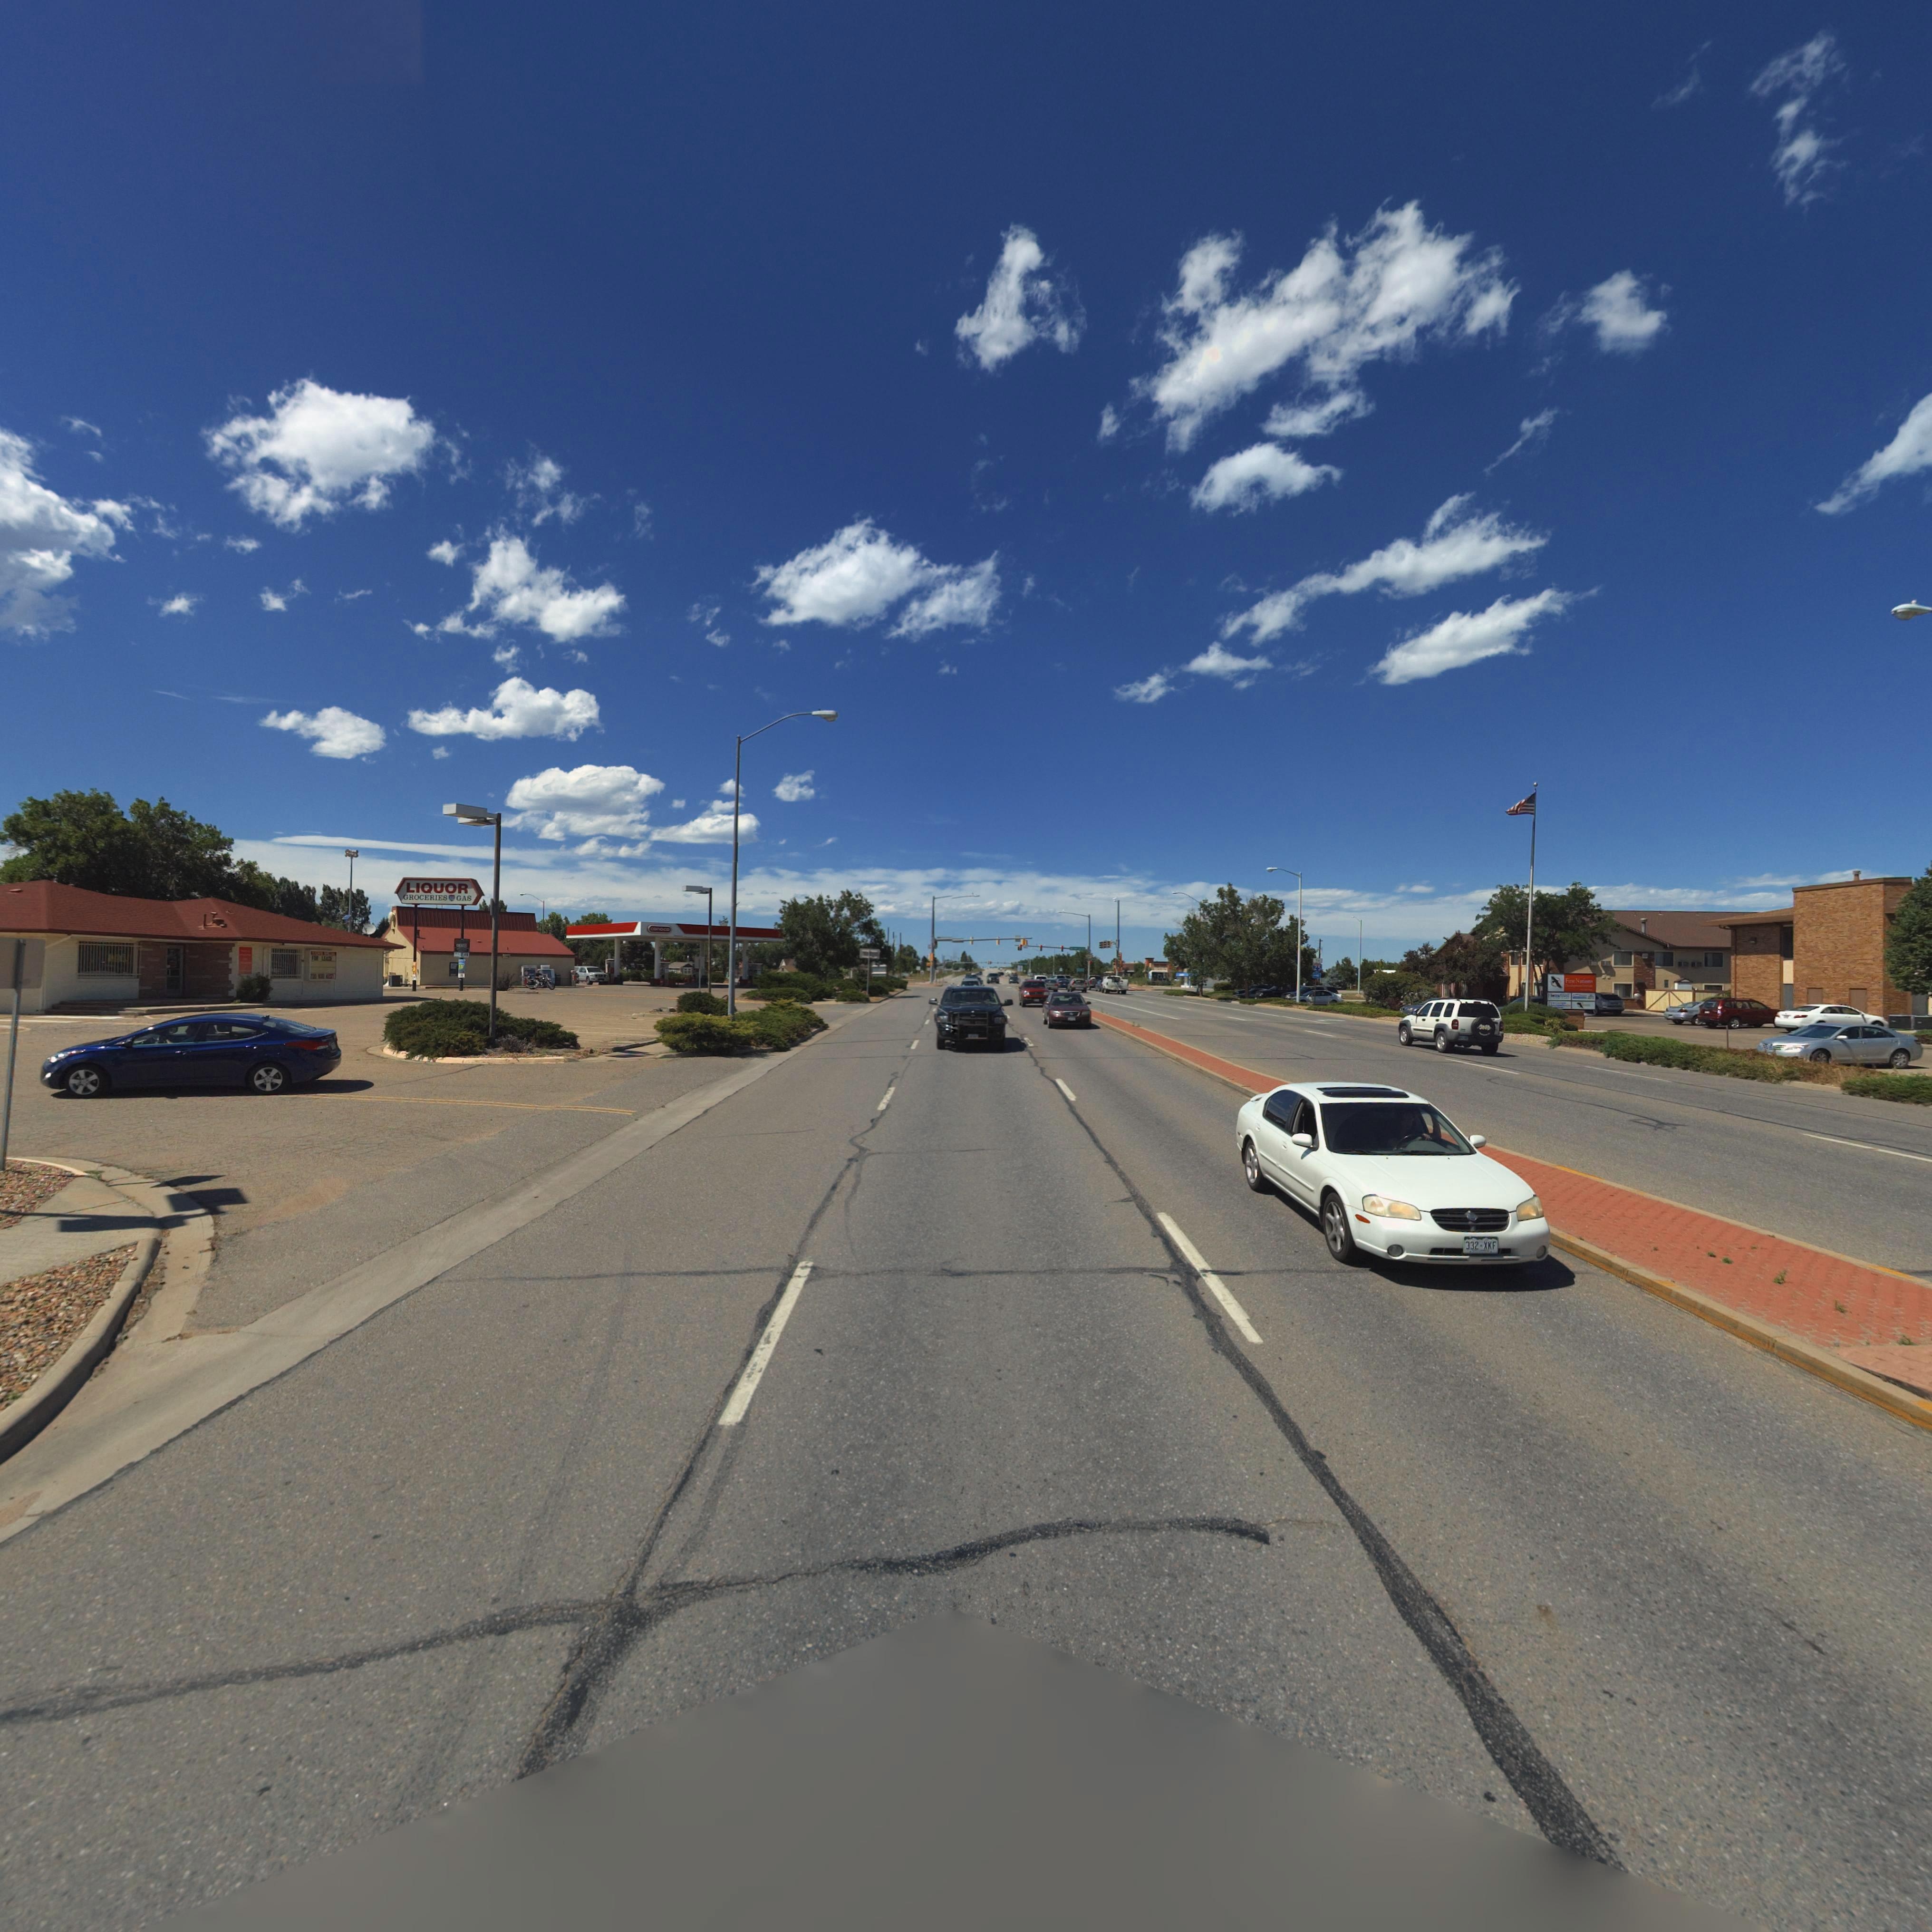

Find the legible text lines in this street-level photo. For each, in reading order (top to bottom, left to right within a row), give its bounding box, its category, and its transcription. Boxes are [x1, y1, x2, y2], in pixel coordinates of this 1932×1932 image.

[650, 927, 669, 931] BusinessName: conoco